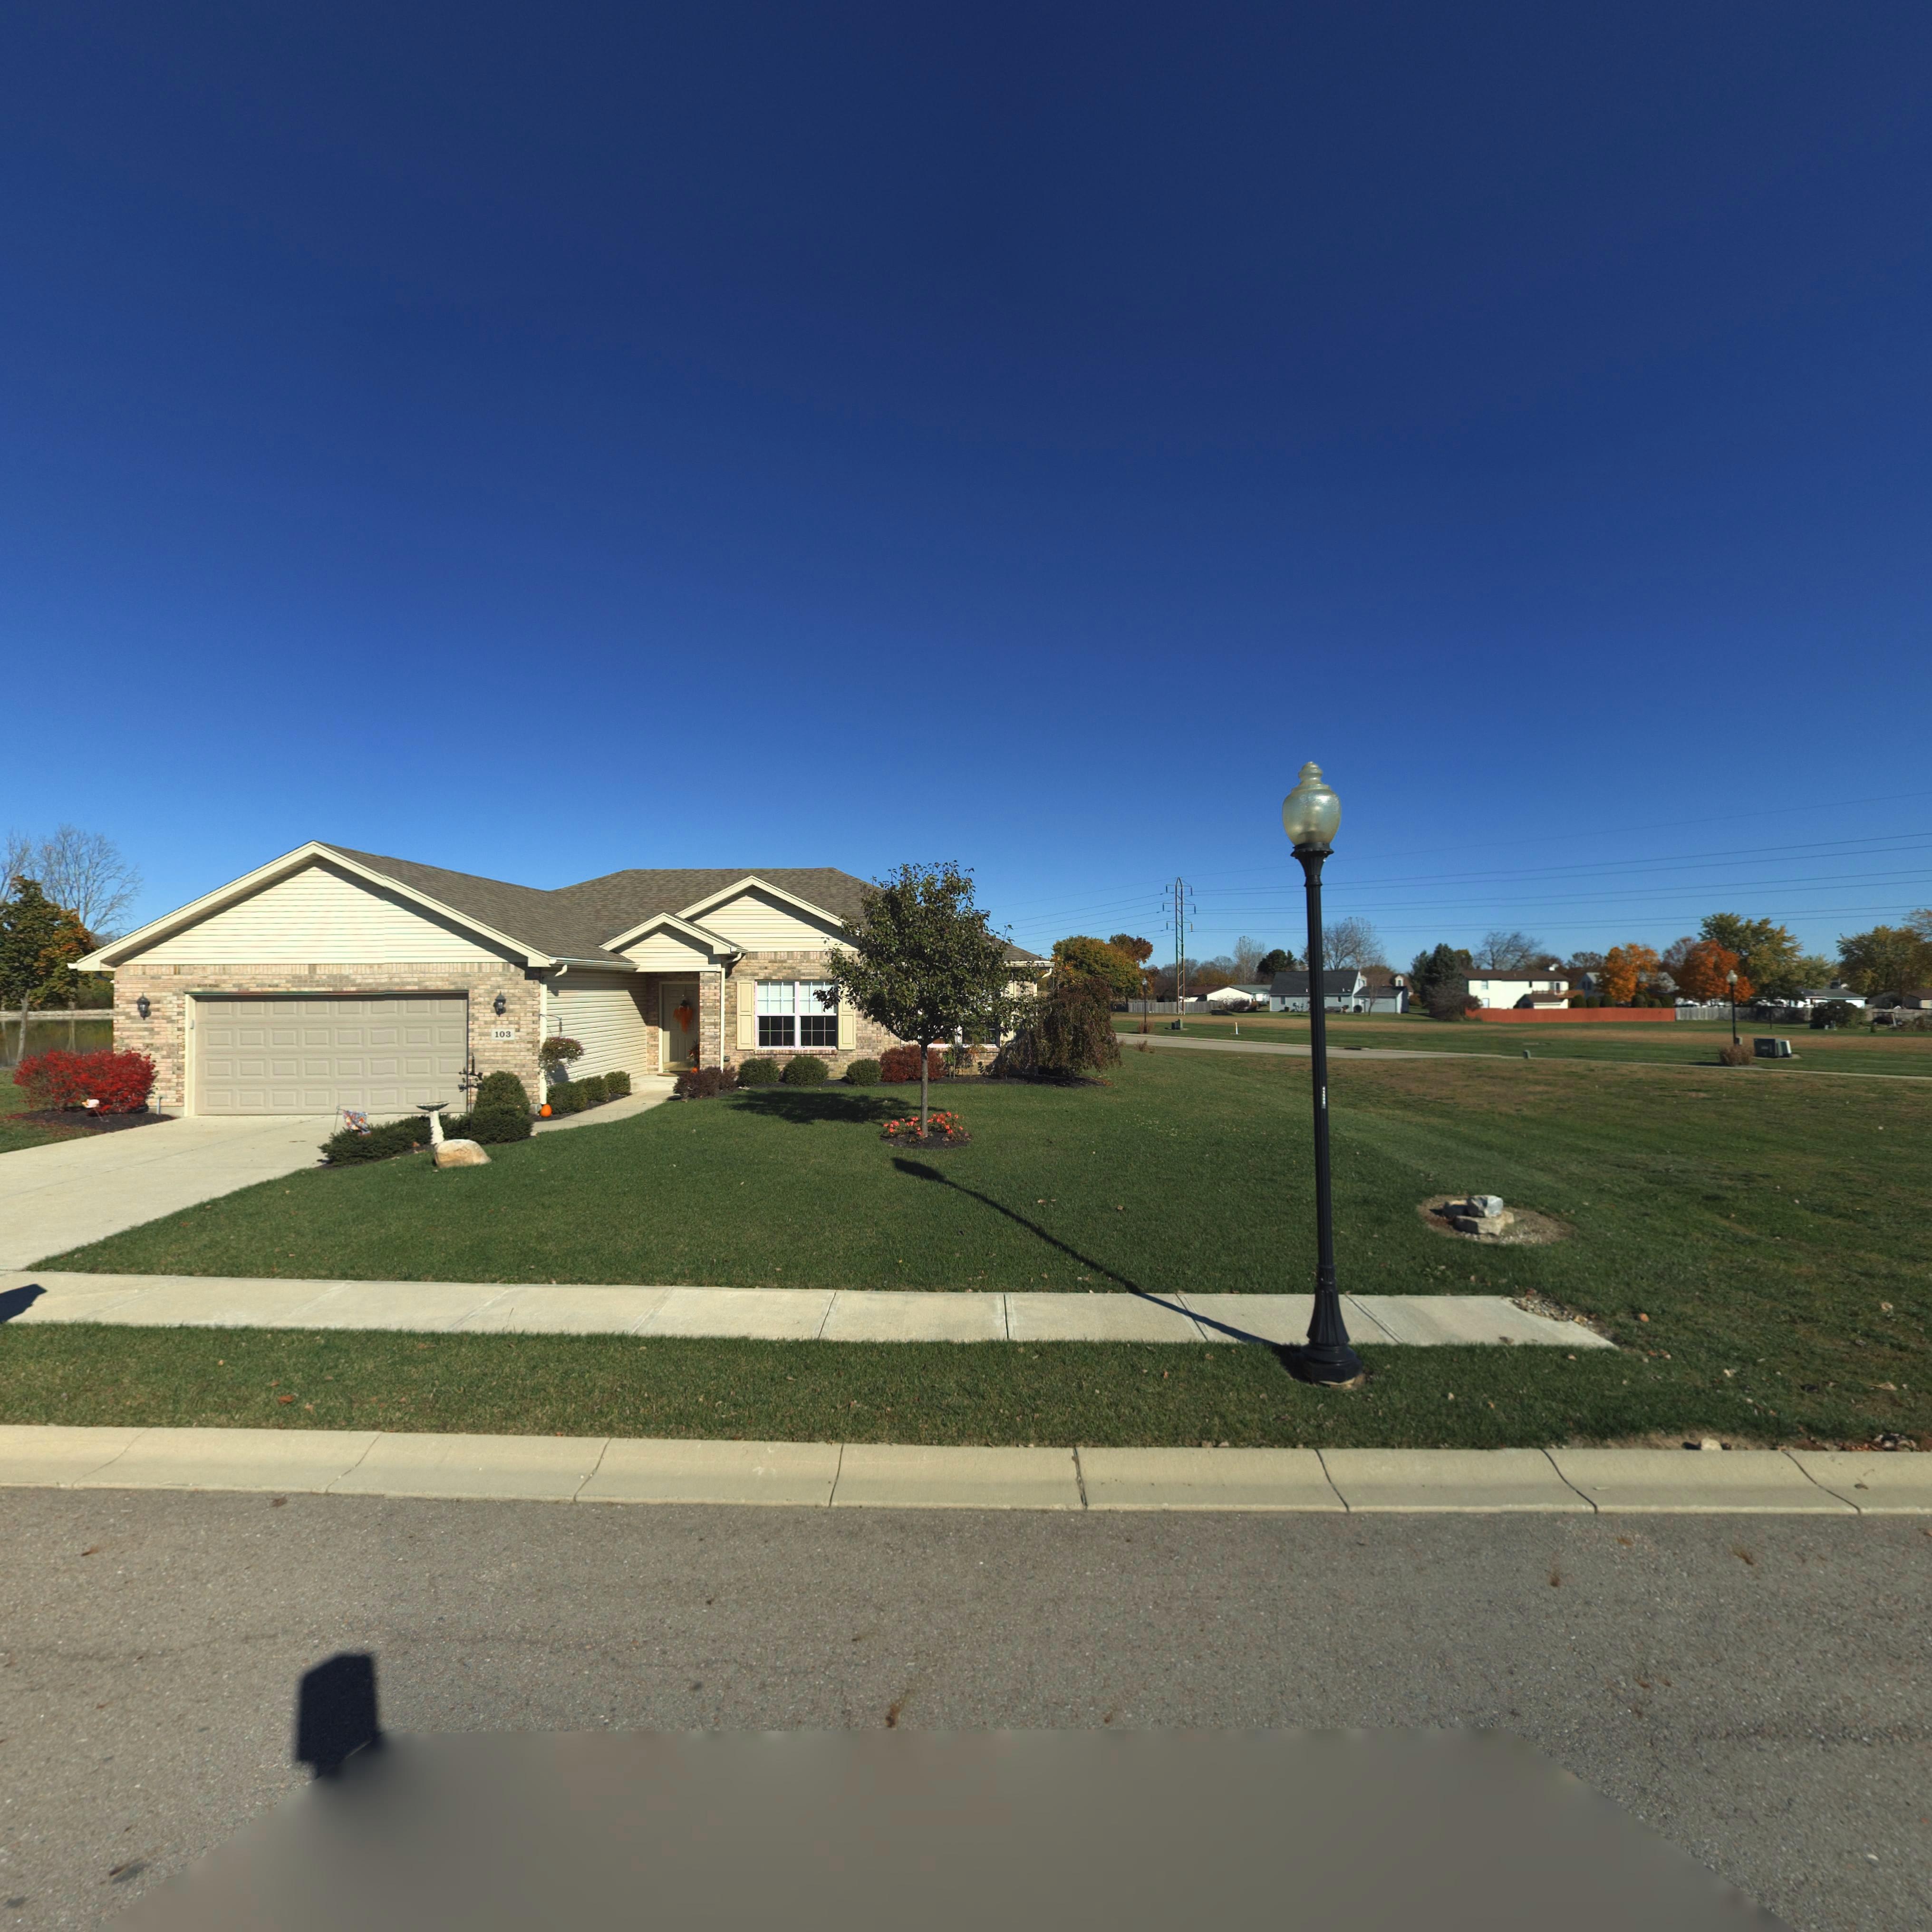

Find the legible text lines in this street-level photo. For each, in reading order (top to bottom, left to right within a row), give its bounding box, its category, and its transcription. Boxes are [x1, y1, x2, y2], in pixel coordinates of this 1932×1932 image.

[494, 1030, 512, 1038] StreetNumber: 103